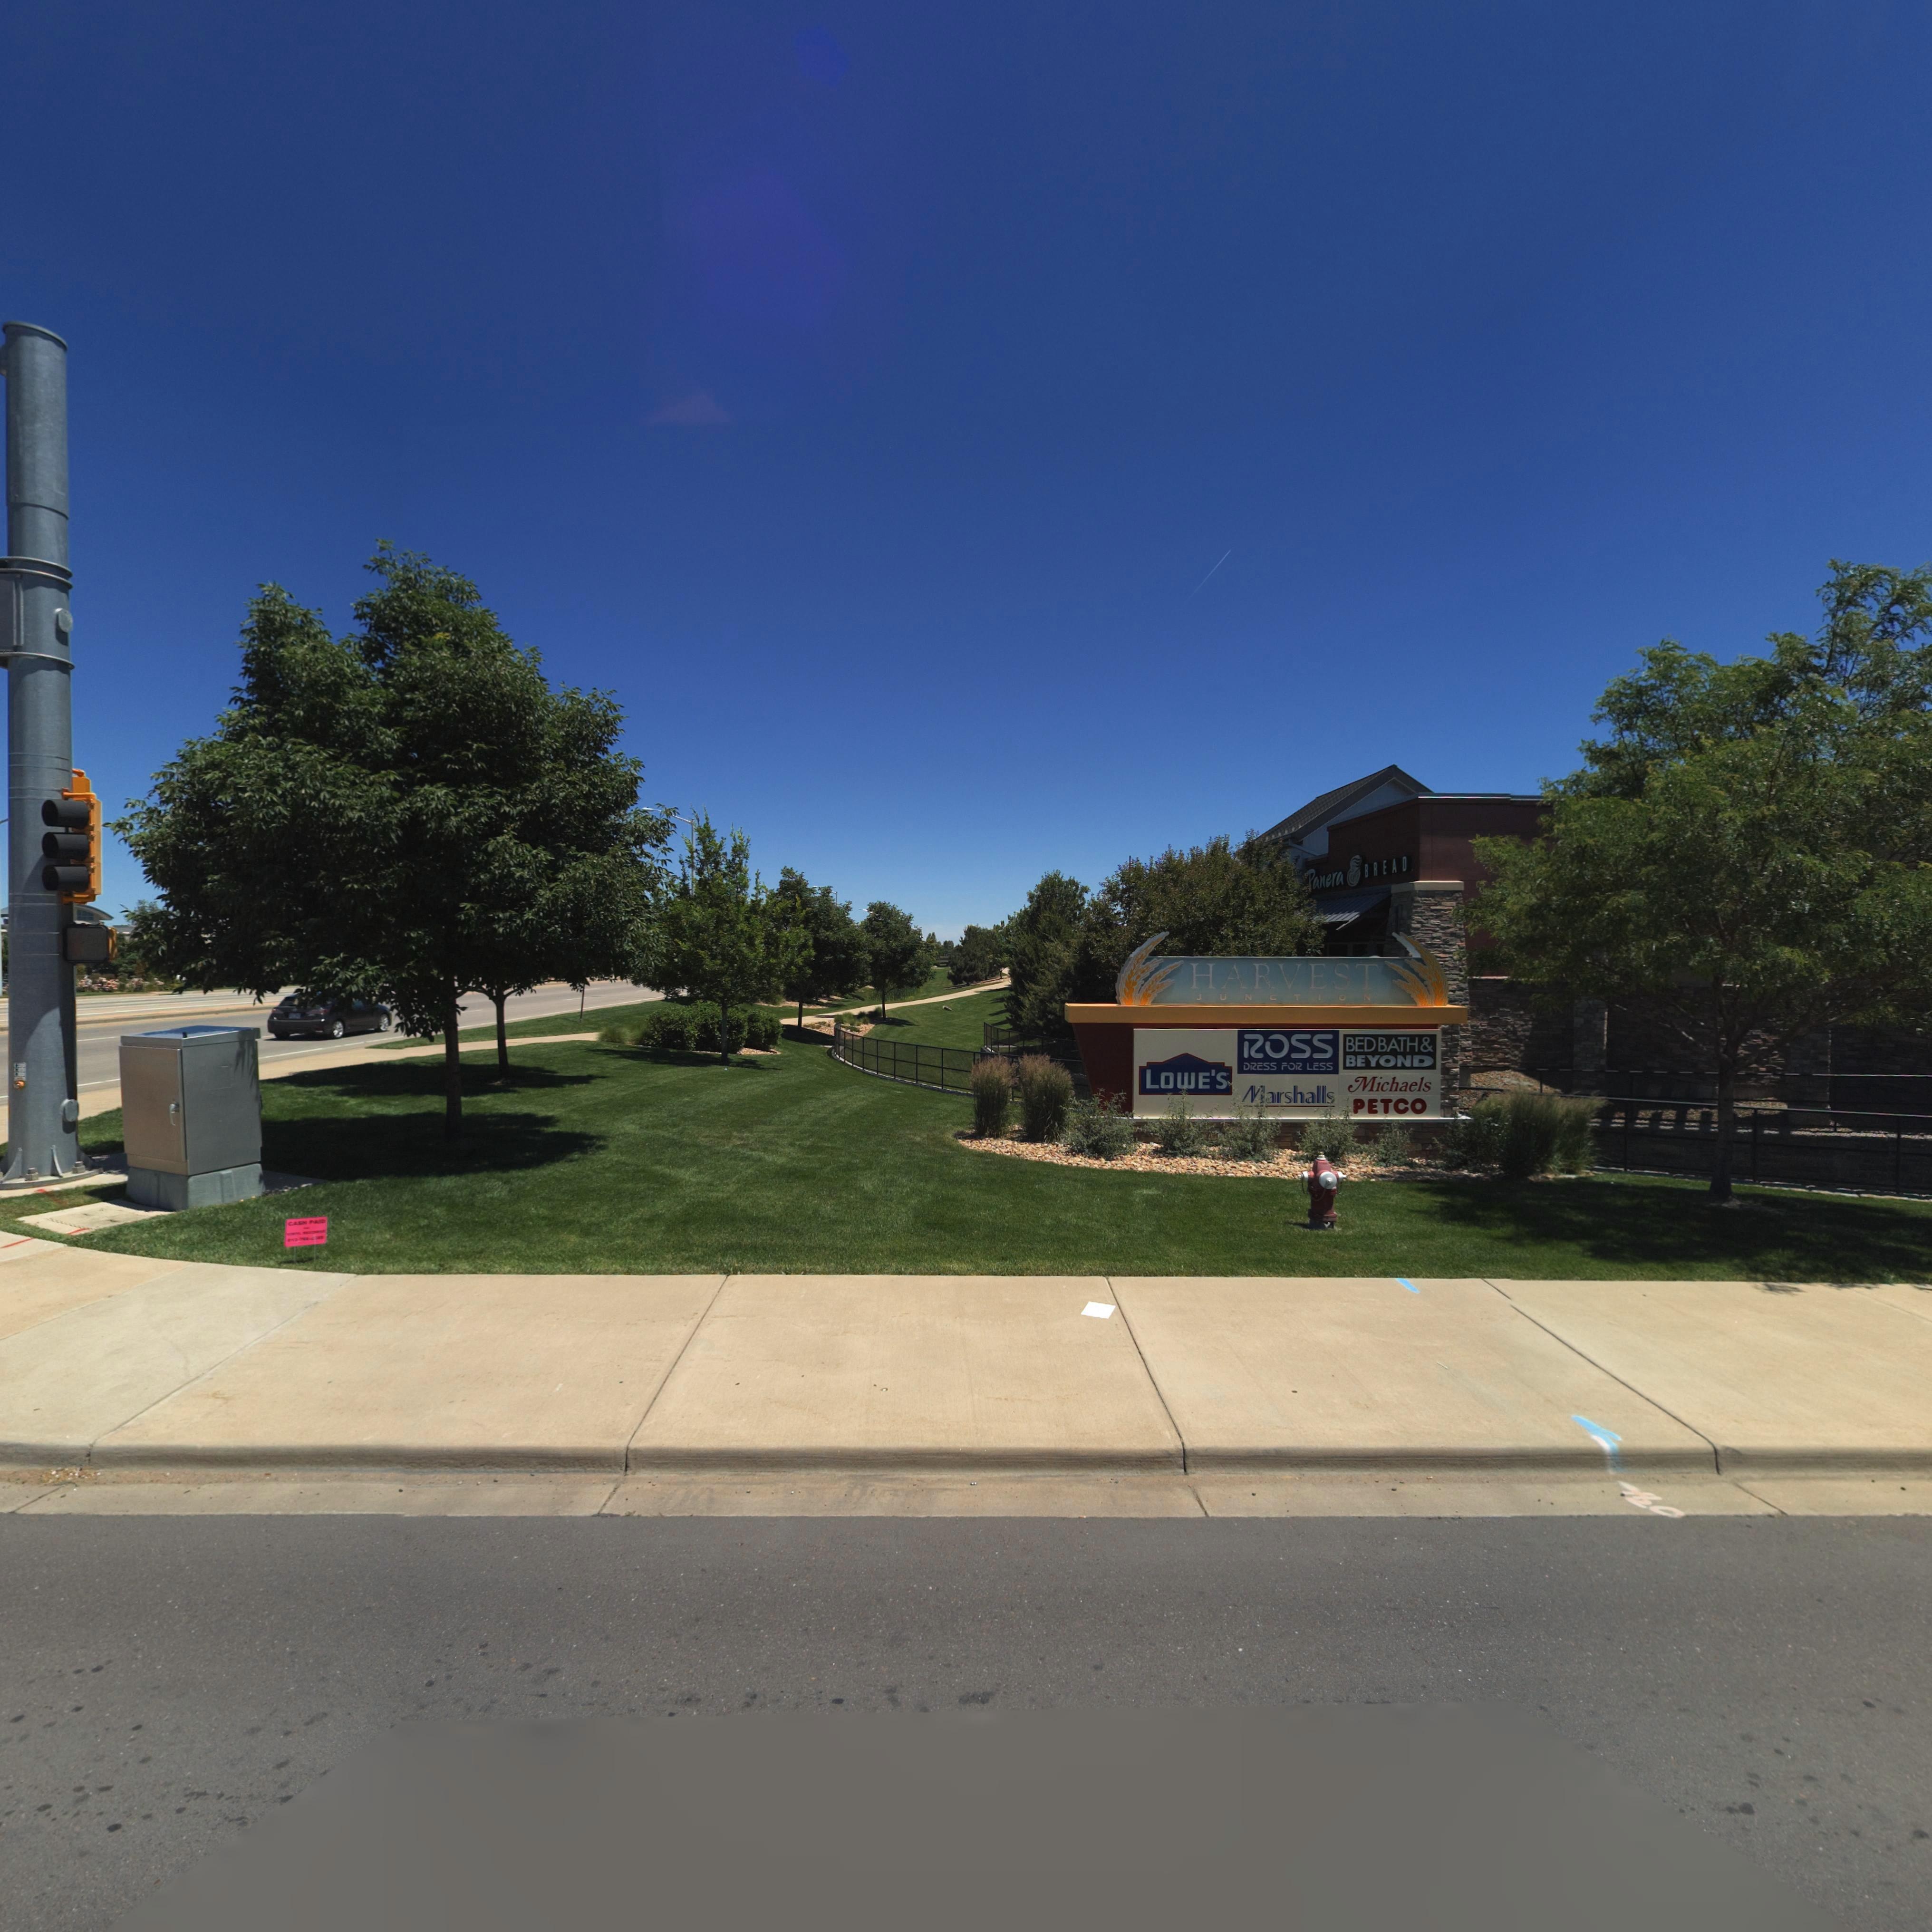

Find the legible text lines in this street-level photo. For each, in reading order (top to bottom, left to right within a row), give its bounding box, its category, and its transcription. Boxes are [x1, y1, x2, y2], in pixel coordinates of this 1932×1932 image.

[1305, 854, 1408, 894] BusinessName: Panera * BREAD
[1189, 961, 1381, 990] BusinessName: HARVEST
[1196, 992, 1372, 1001] BusinessName: JUNCTION
[1243, 1033, 1334, 1059] BusinessName: ROSS
[1345, 1036, 1433, 1053] BusinessName: BEDBATH&
[1242, 1061, 1334, 1071] BusinessName: DRESS FOR LESS
[1345, 1054, 1435, 1067] BusinessName: BEYOND
[1145, 1068, 1228, 1090] BusinessName: LOWE'S
[1346, 1075, 1432, 1093] BusinessName: Michaels
[1239, 1084, 1335, 1105] BusinessName: Marshalls
[1352, 1097, 1428, 1115] BusinessName: PETCO